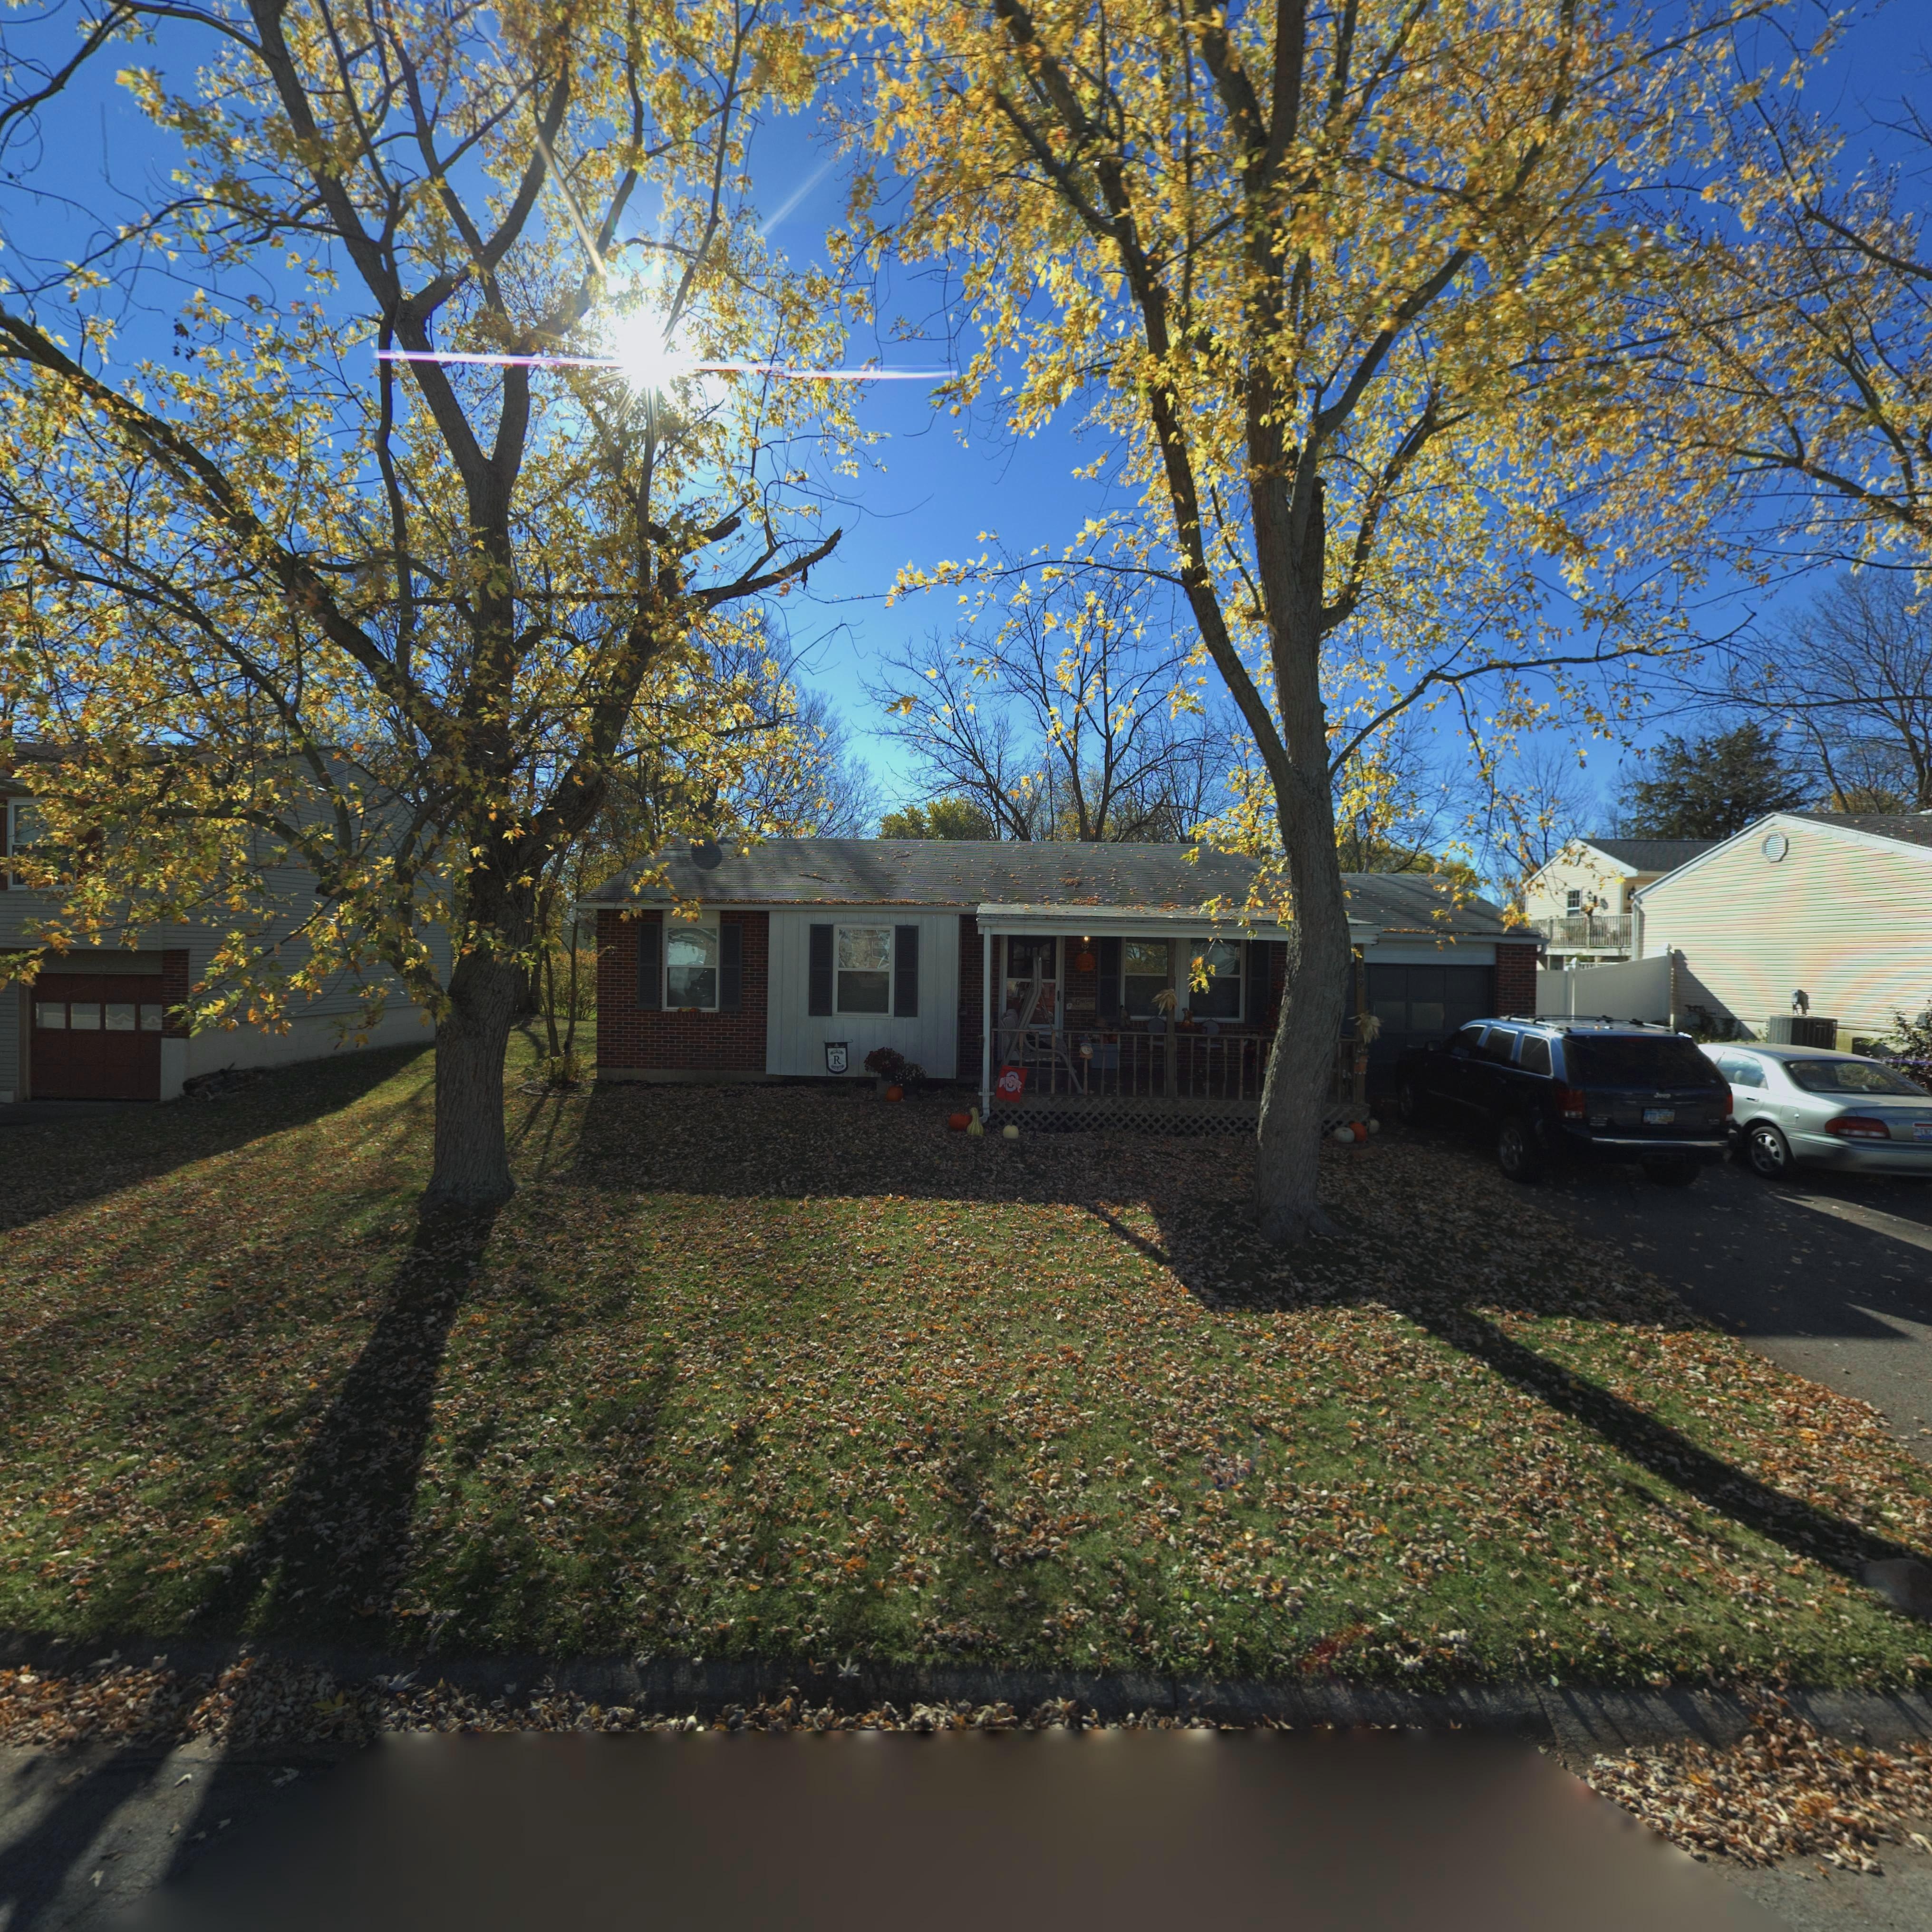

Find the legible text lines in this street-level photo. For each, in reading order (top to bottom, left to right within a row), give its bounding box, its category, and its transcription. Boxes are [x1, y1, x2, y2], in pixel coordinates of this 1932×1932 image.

[1357, 958, 1365, 989] StreetNumber: 189